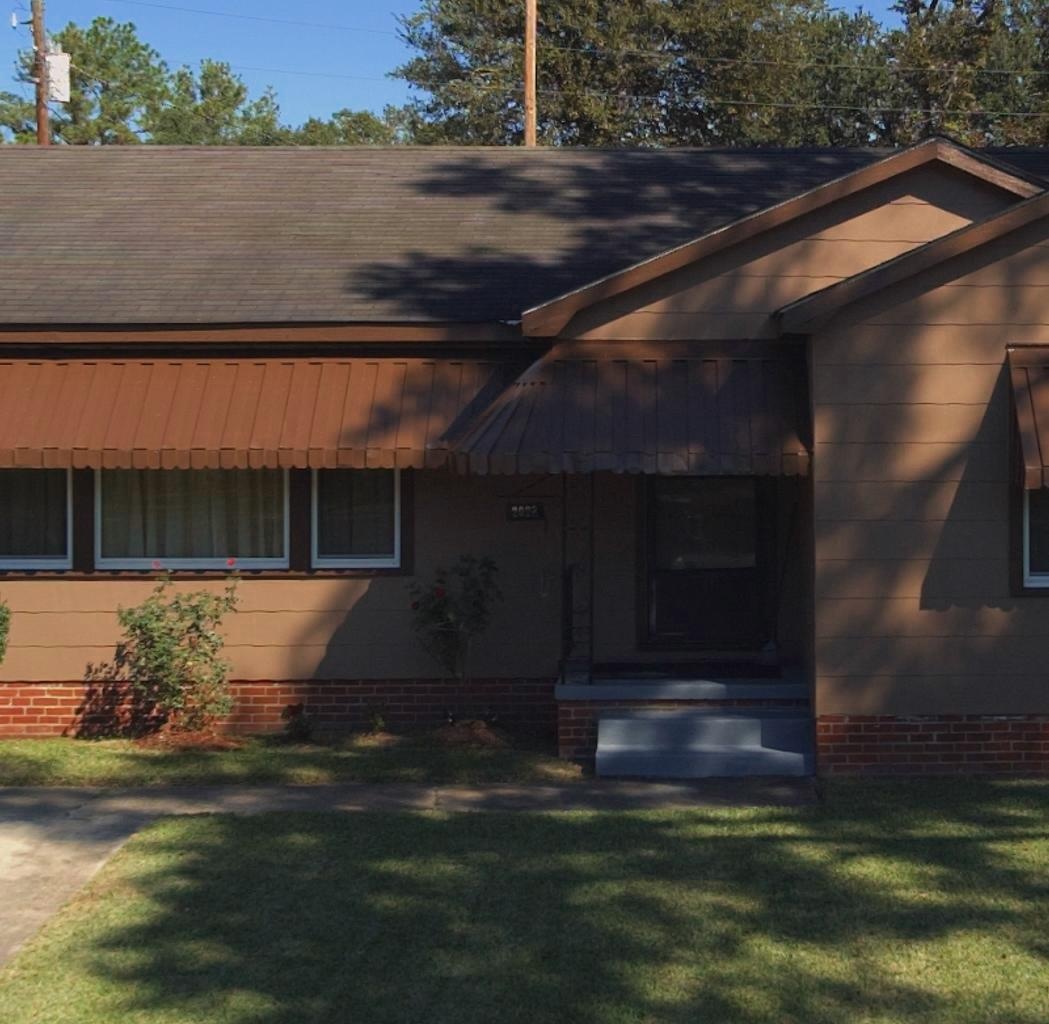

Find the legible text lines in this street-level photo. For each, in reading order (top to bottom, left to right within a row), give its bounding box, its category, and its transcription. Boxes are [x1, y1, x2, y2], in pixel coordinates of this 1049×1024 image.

[510, 504, 540, 519] StreetNumber: 2022